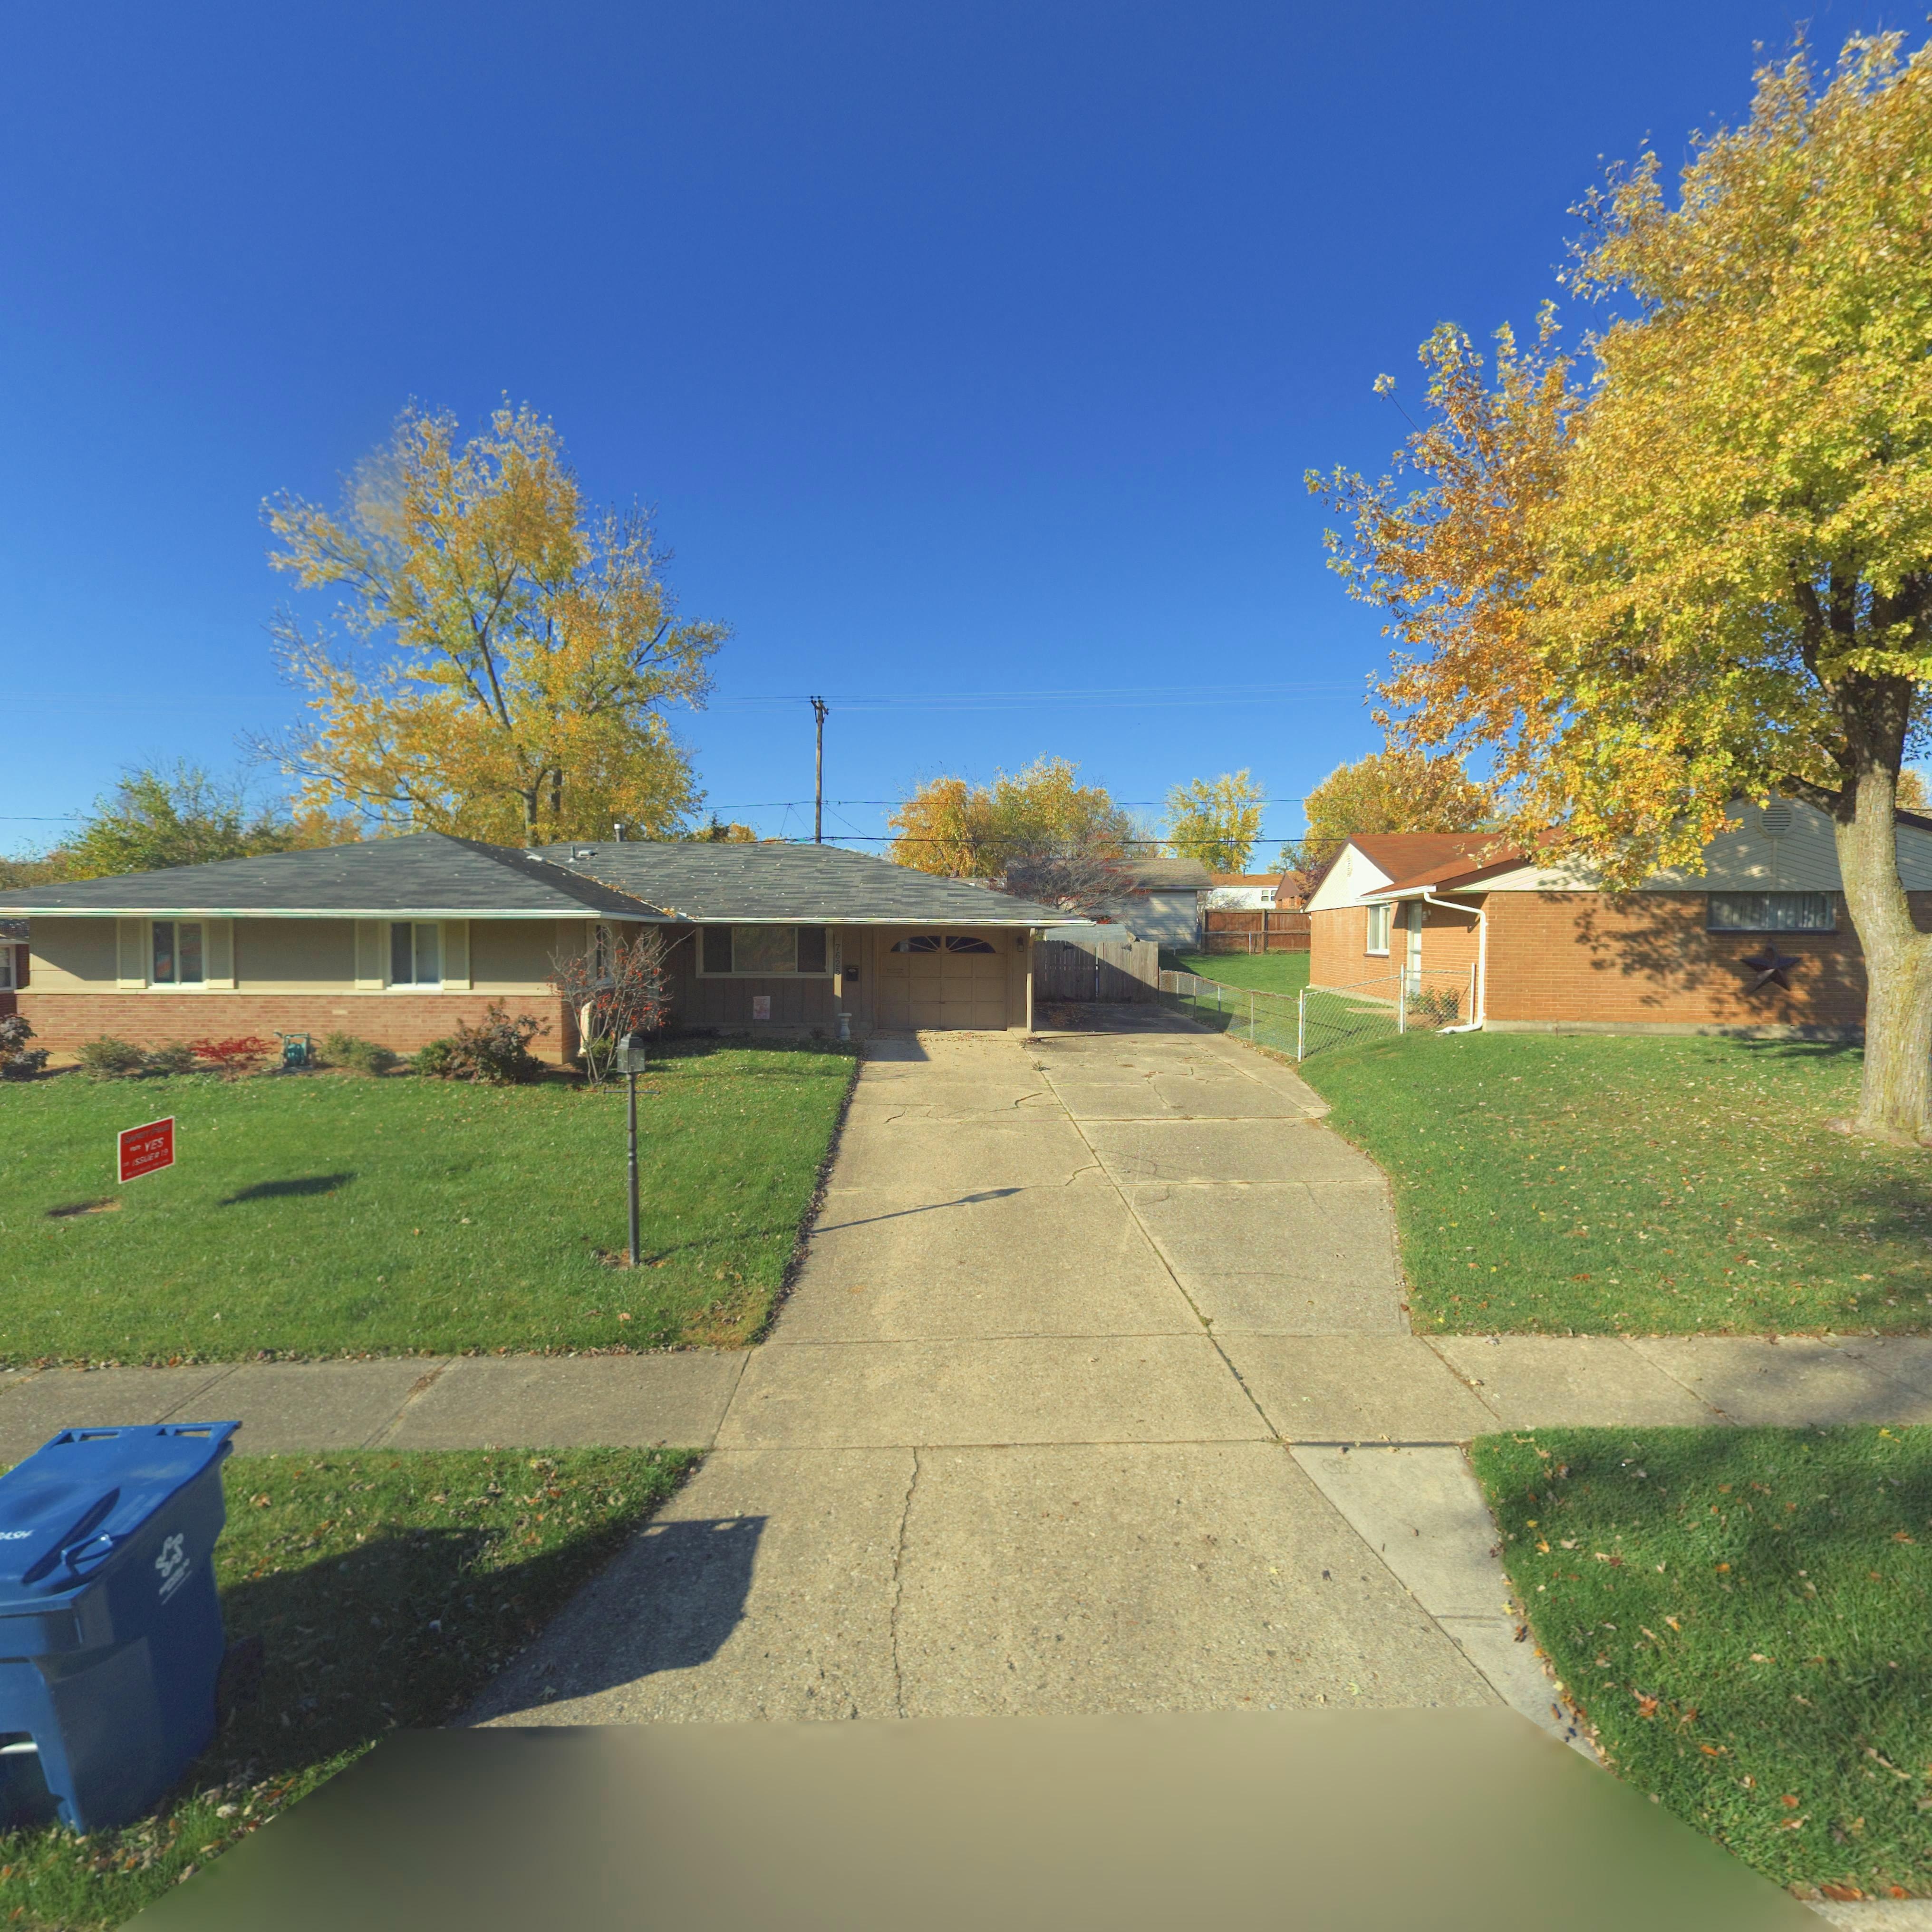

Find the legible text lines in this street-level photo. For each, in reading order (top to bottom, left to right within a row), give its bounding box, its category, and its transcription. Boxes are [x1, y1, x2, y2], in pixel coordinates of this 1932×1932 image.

[835, 943, 841, 976] StreetNumber: 7625